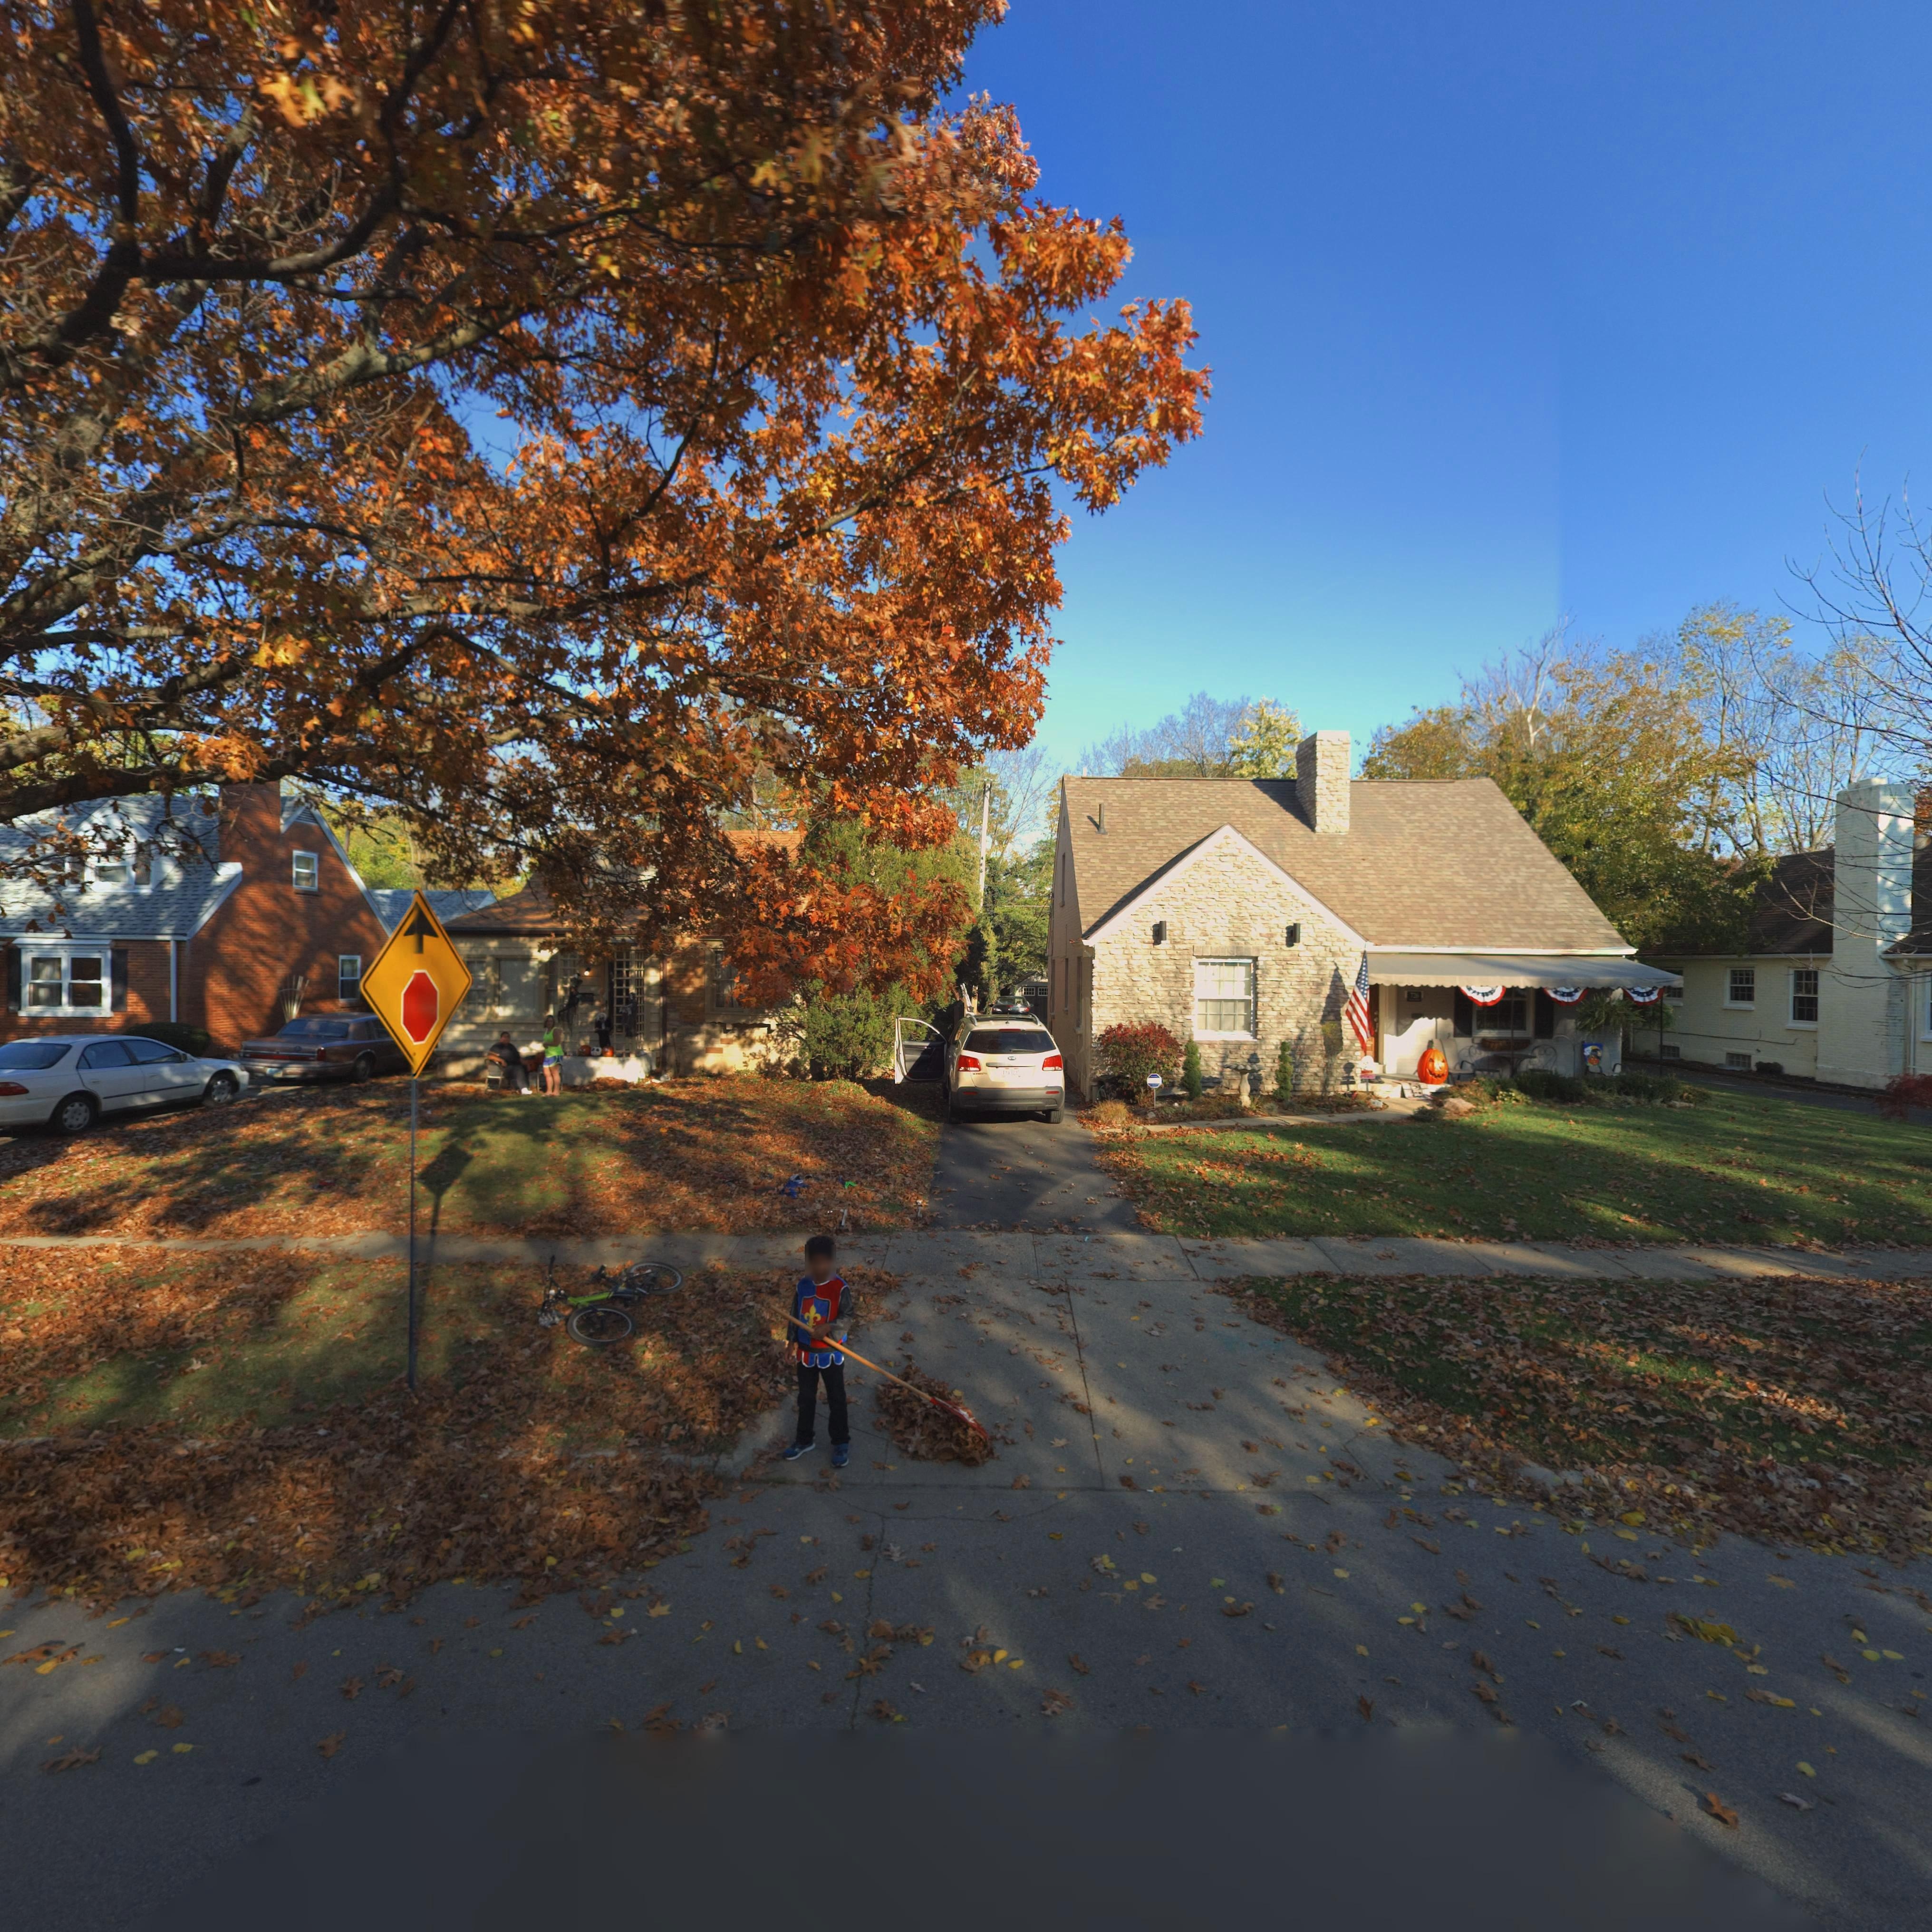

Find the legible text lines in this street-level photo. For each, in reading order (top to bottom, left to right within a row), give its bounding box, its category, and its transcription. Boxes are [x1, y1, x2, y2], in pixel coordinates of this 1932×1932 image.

[1410, 992, 1420, 998] StreetNumber: 726